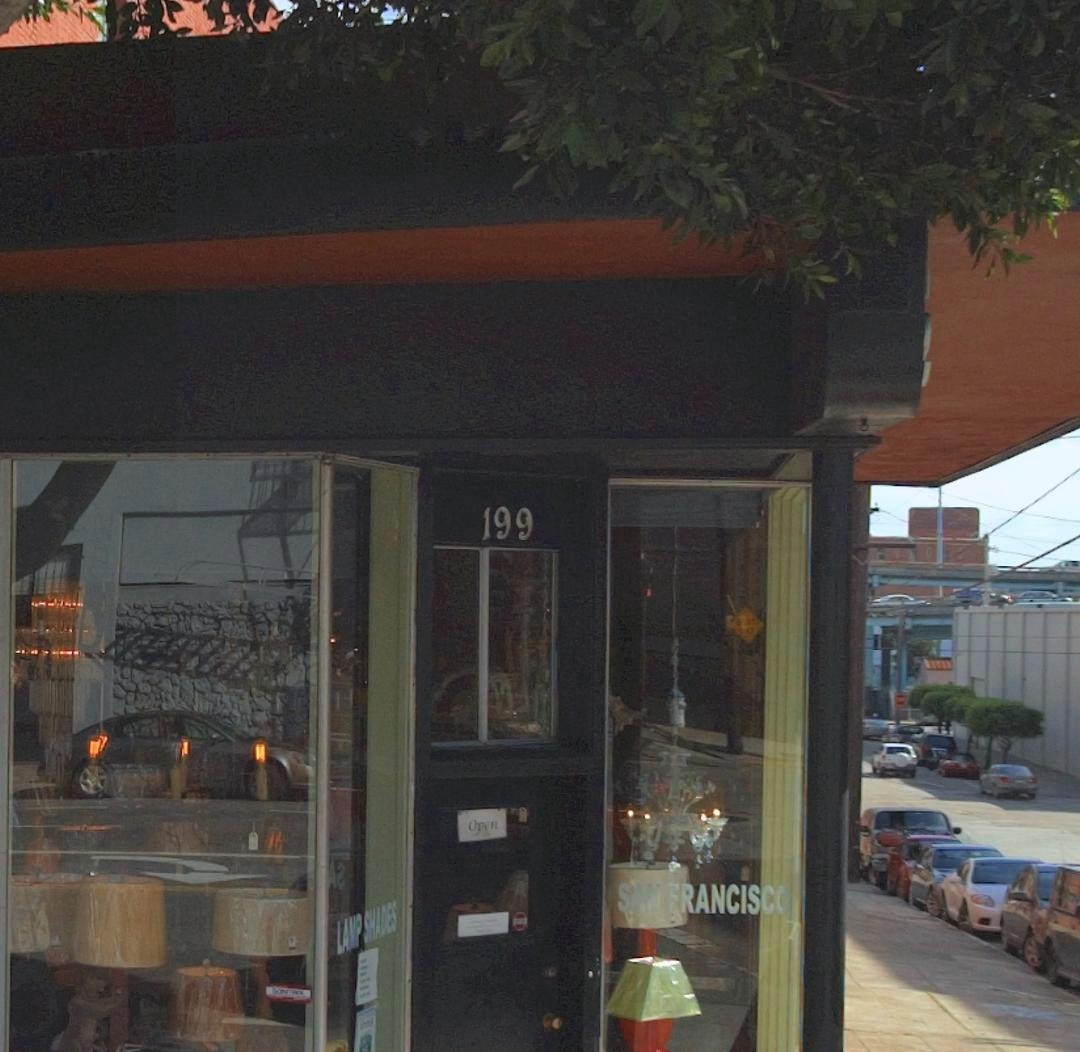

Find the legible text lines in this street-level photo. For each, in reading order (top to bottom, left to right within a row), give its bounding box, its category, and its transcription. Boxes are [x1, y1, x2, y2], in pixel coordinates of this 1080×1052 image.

[479, 504, 536, 542] StreetNumber: 199
[465, 816, 500, 839] None: O*en
[615, 880, 794, 917] None: S*N FRANCISCO
[334, 894, 400, 960] None: LAMP SHADES